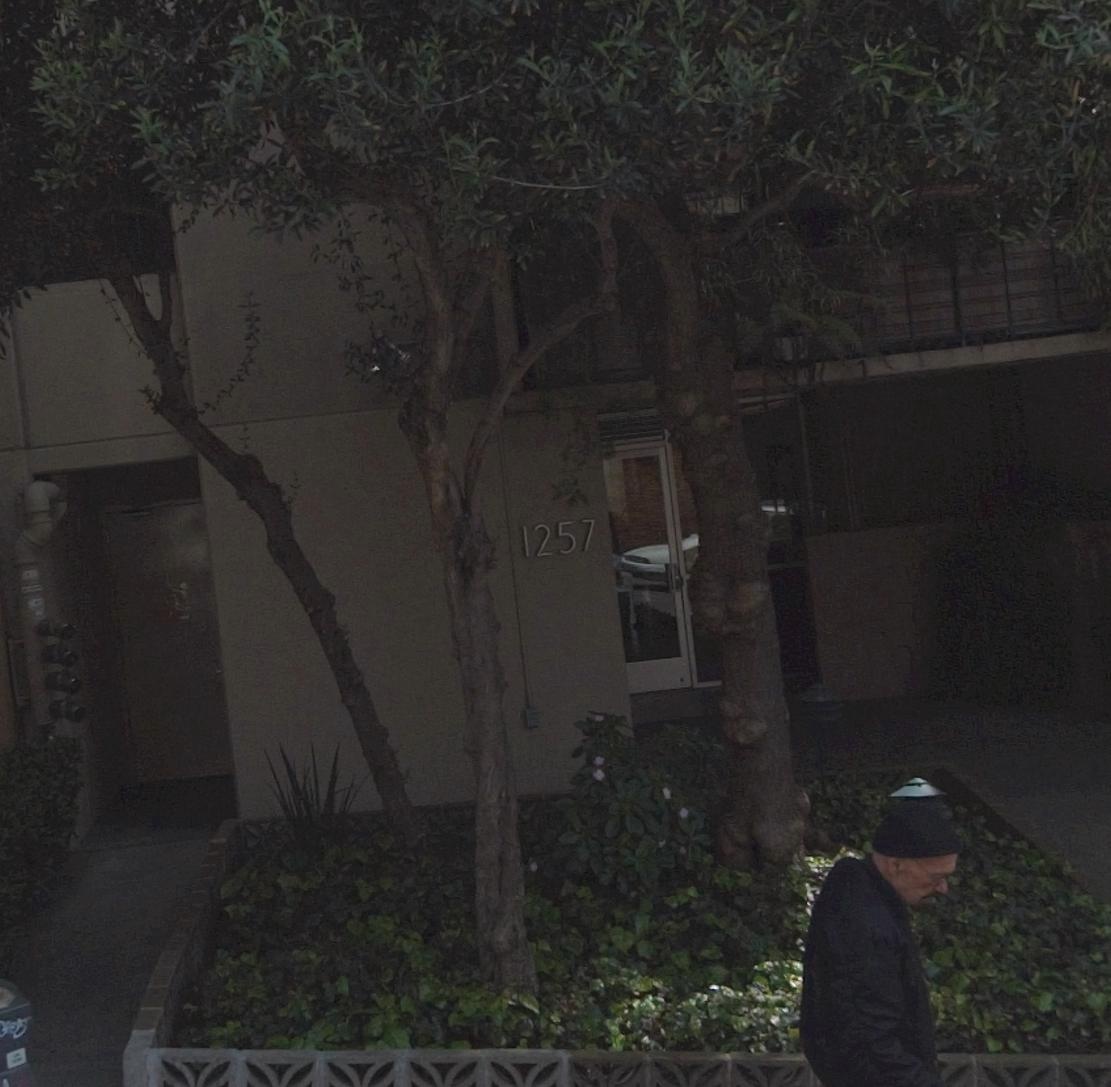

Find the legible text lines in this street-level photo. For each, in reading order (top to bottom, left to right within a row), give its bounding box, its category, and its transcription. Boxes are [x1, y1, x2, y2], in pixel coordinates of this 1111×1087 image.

[518, 513, 599, 564] StreetNumber: 1257